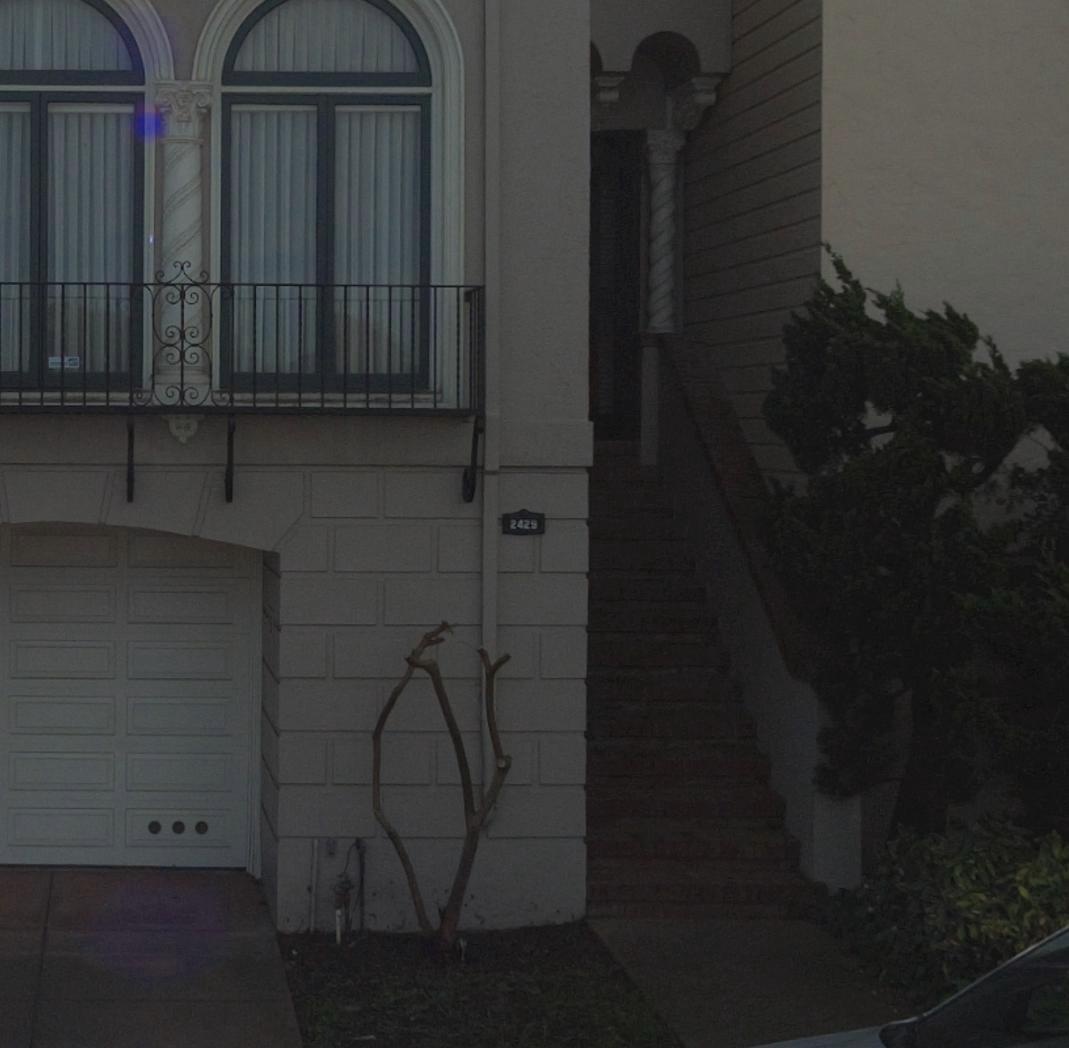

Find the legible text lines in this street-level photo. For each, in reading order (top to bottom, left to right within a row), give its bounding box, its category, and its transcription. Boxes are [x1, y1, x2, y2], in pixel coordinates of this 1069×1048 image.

[507, 517, 540, 531] StreetNumber: 2429